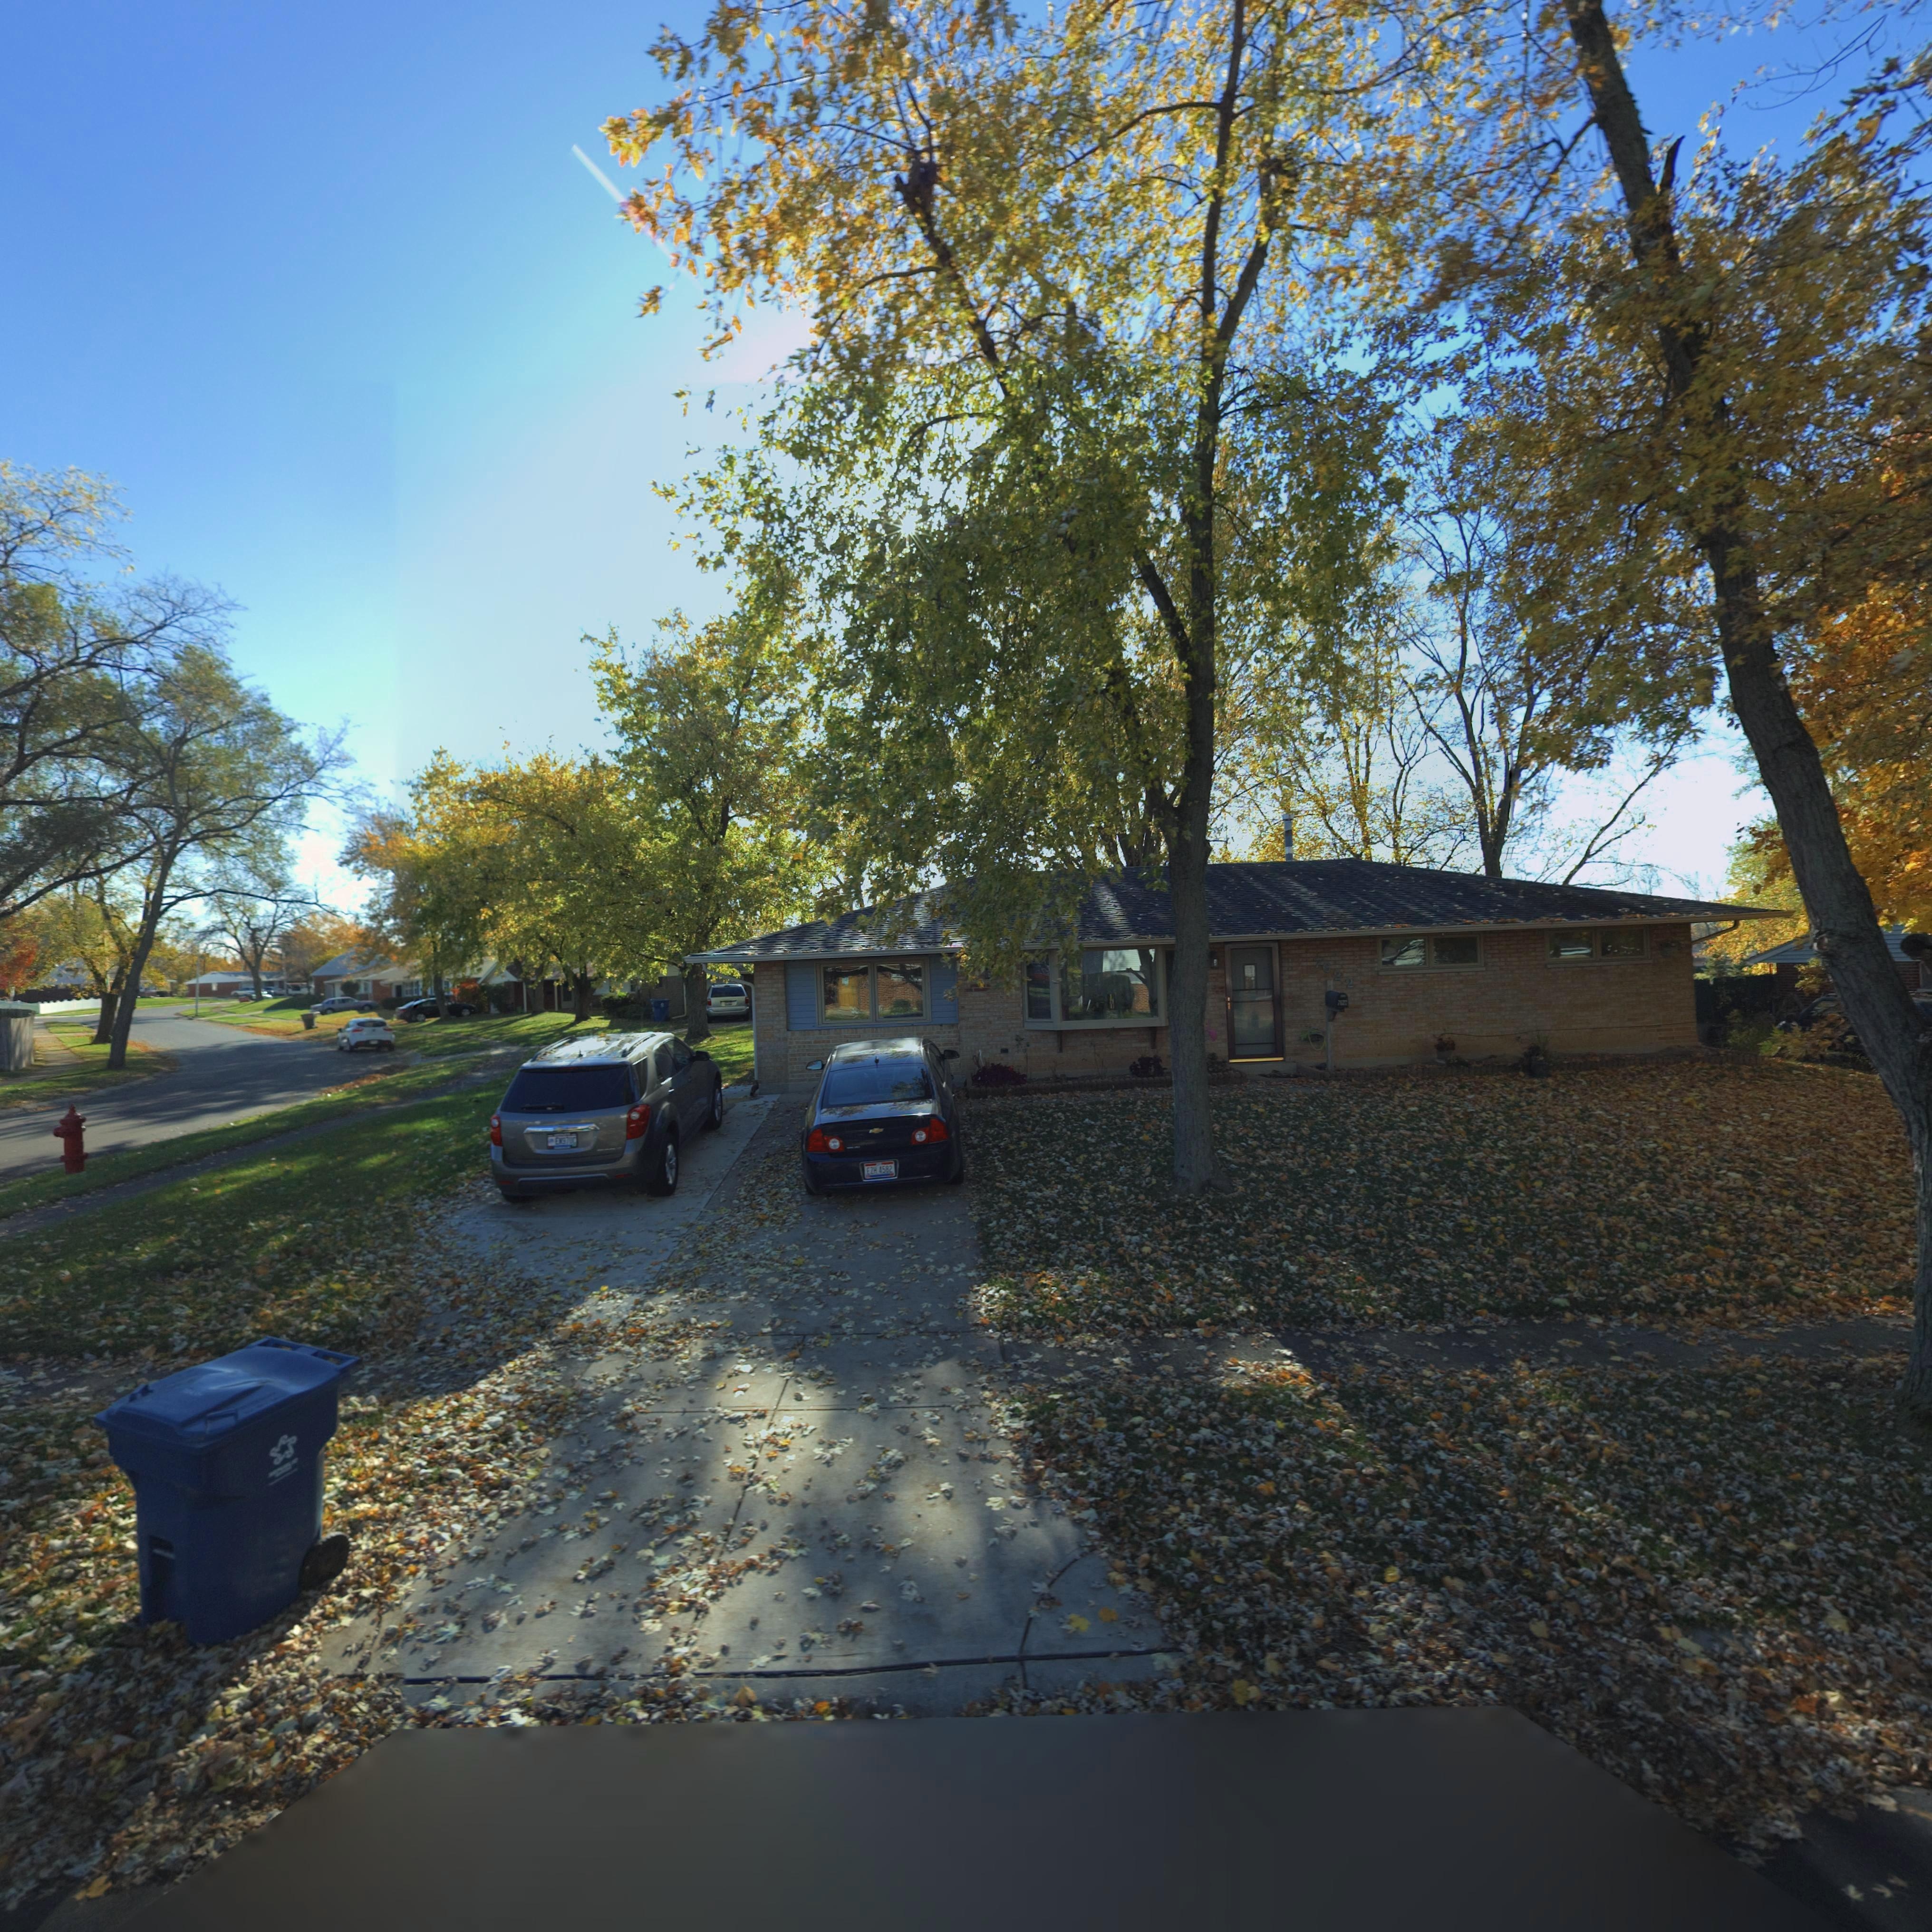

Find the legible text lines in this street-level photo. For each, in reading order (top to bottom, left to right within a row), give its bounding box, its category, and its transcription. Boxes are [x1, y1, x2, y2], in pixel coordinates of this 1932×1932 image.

[1312, 957, 1355, 989] StreetNumber: 7622